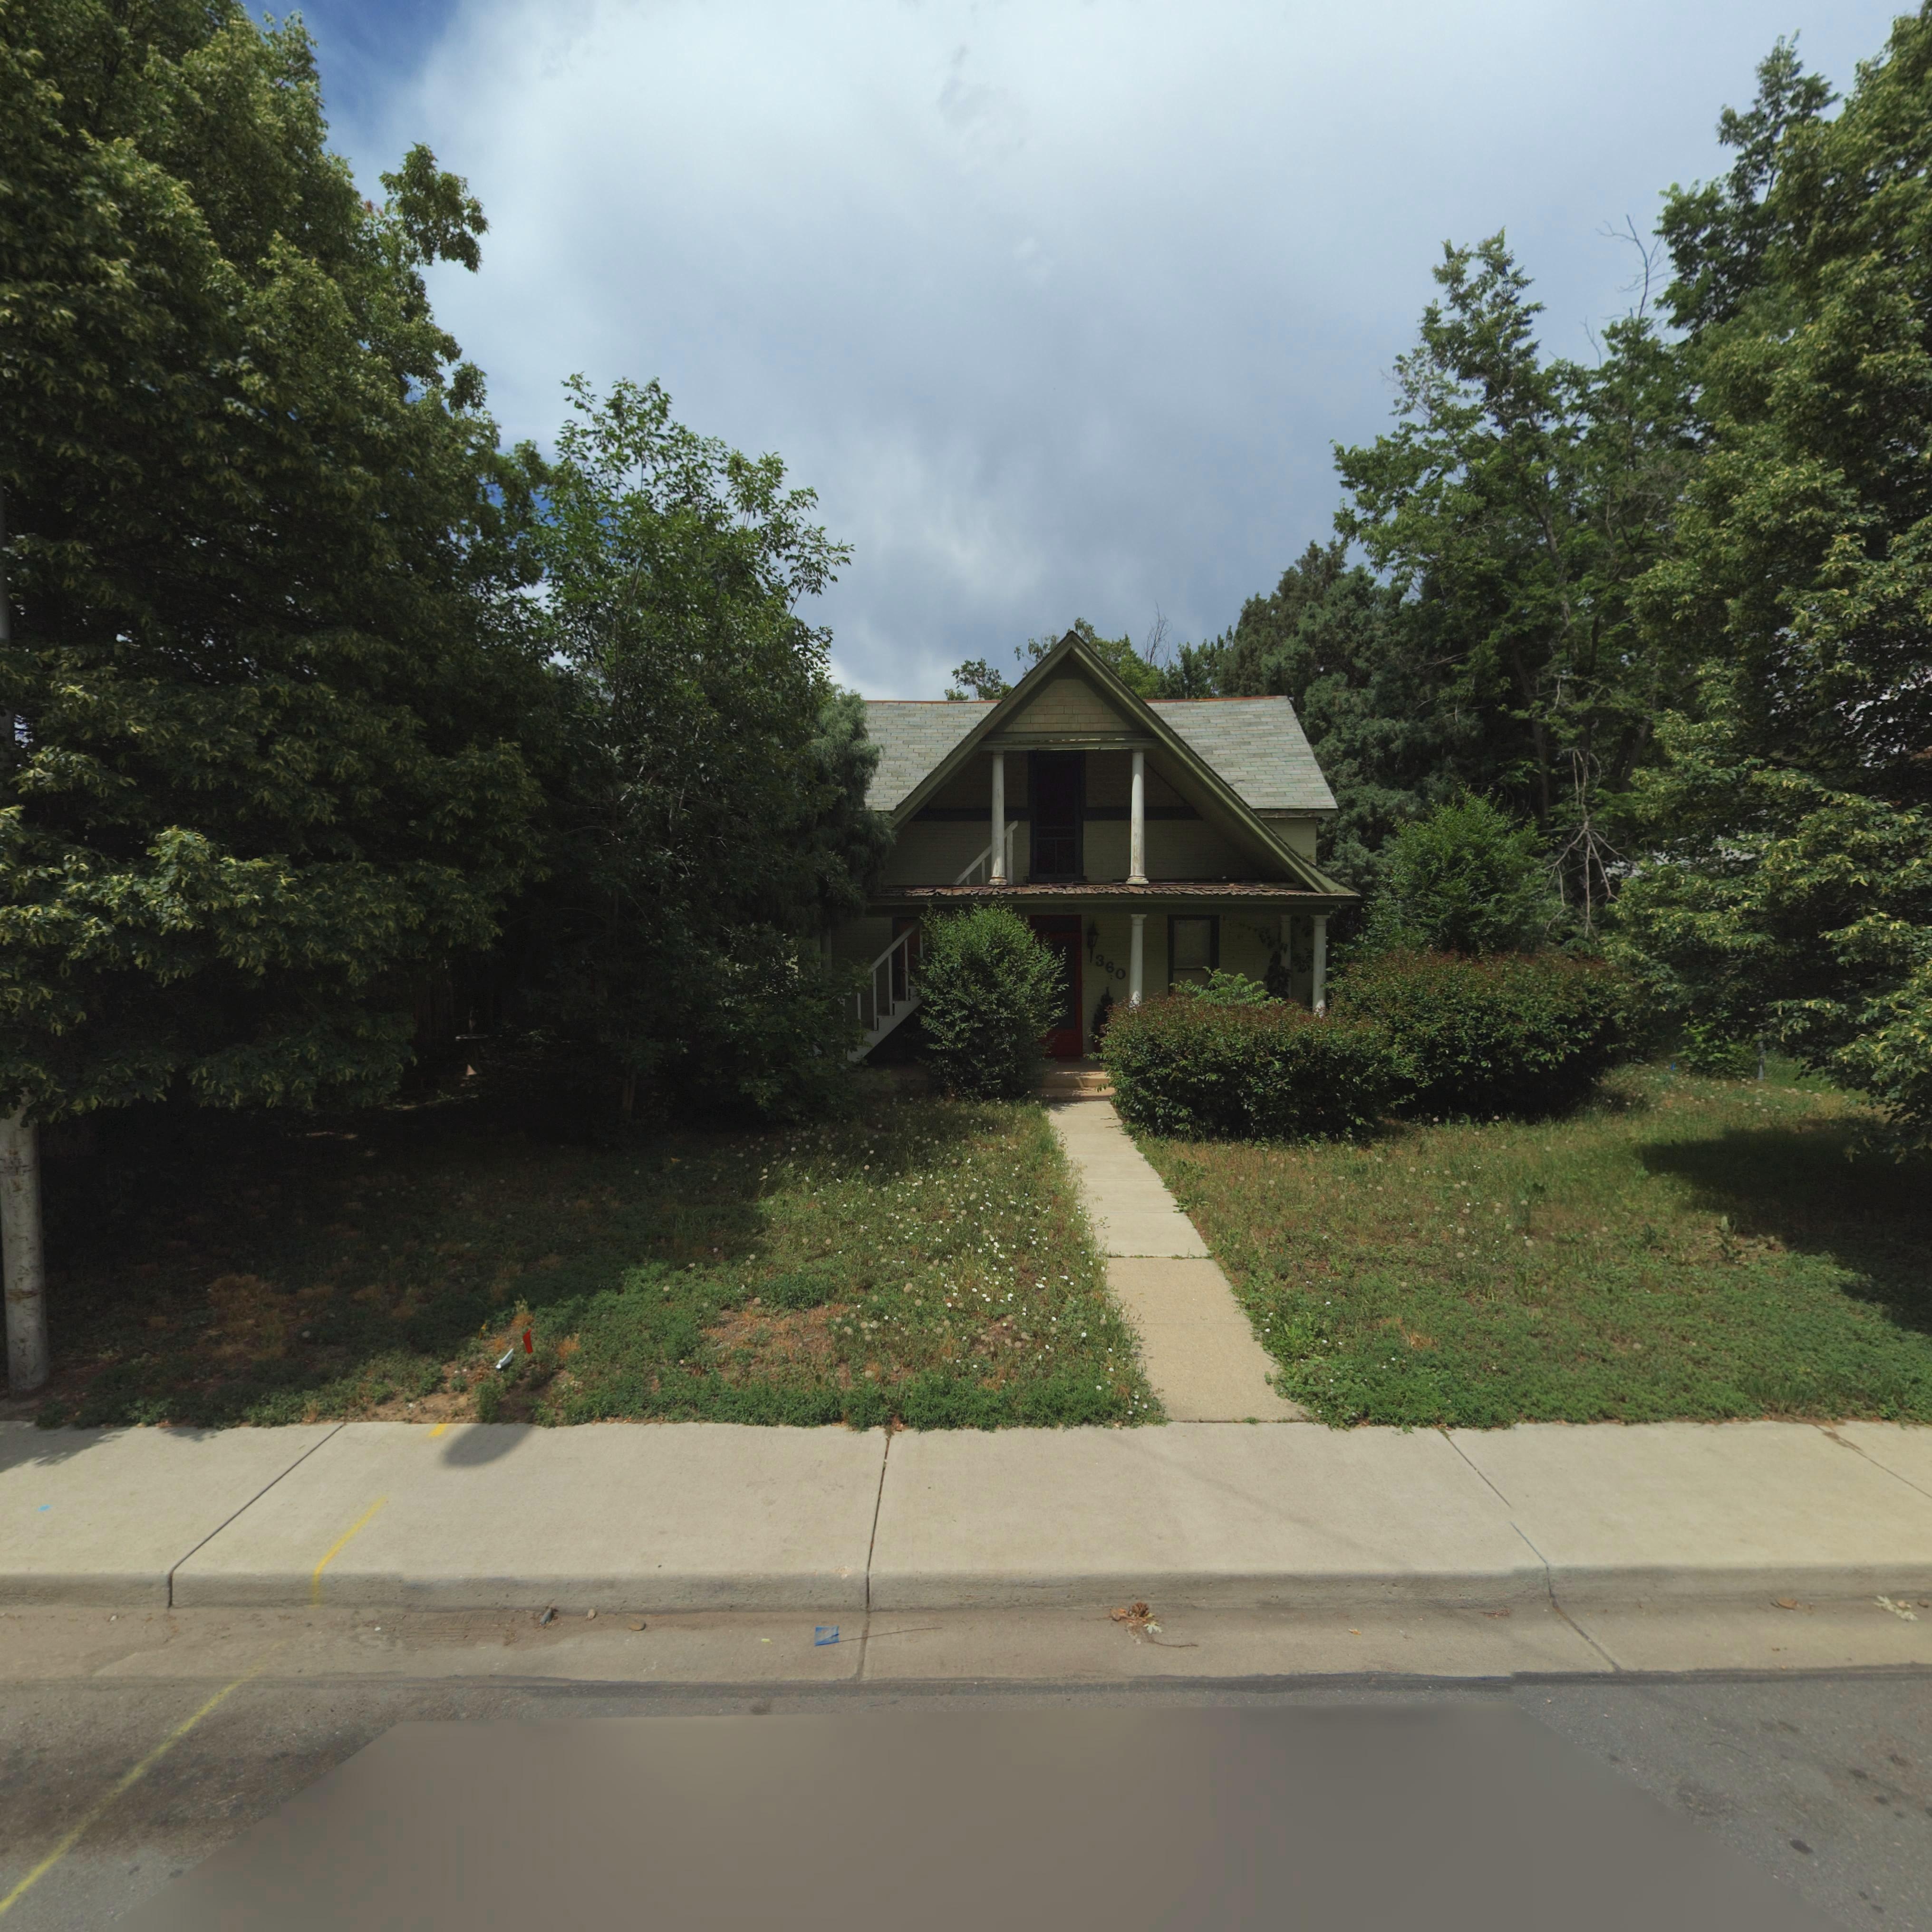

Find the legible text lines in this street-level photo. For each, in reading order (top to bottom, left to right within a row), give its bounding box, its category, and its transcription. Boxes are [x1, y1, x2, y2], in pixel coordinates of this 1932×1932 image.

[1095, 954, 1125, 980] StreetNumber: 360